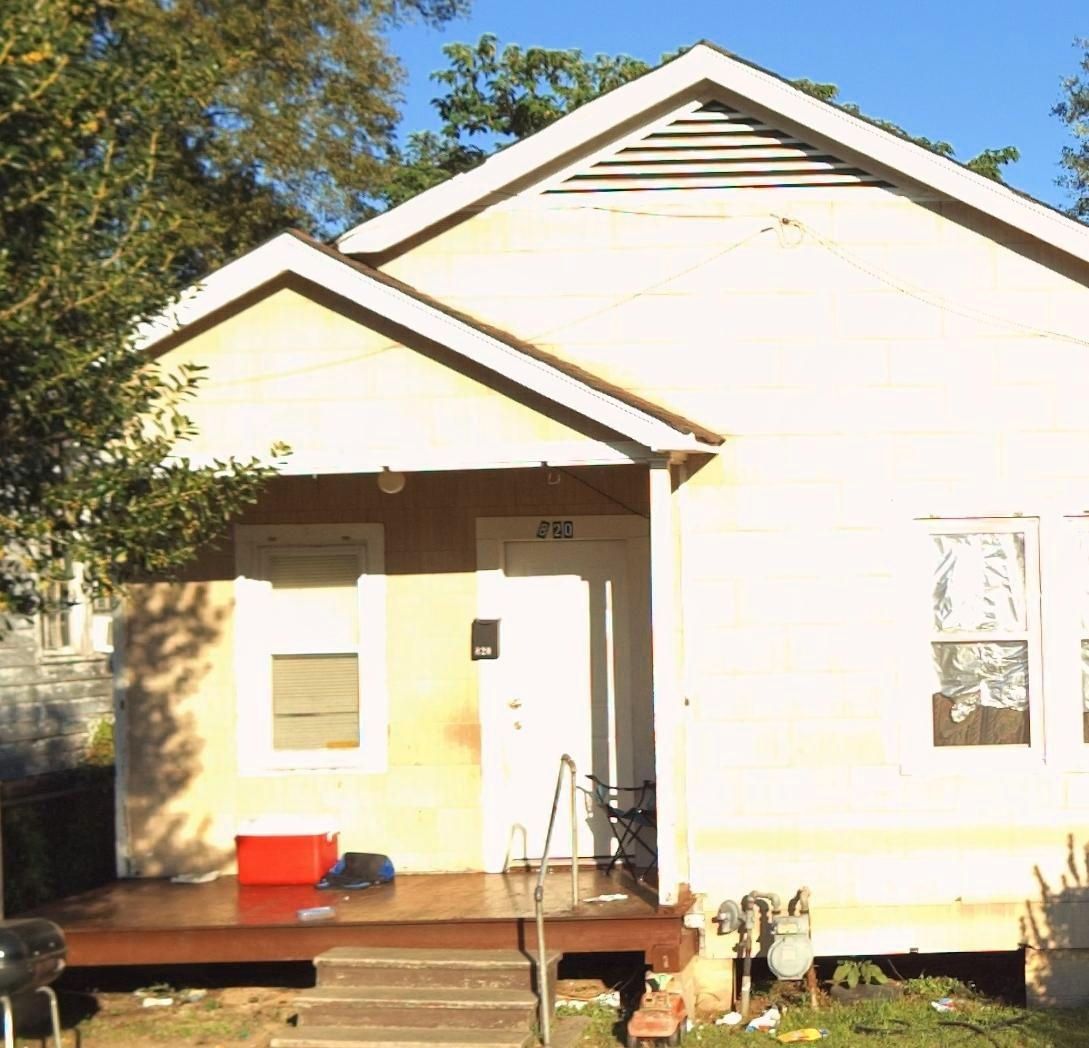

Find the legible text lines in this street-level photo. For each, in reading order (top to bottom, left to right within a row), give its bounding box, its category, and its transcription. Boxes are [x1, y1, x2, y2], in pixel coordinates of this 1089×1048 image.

[537, 521, 574, 539] StreetNumber: 820